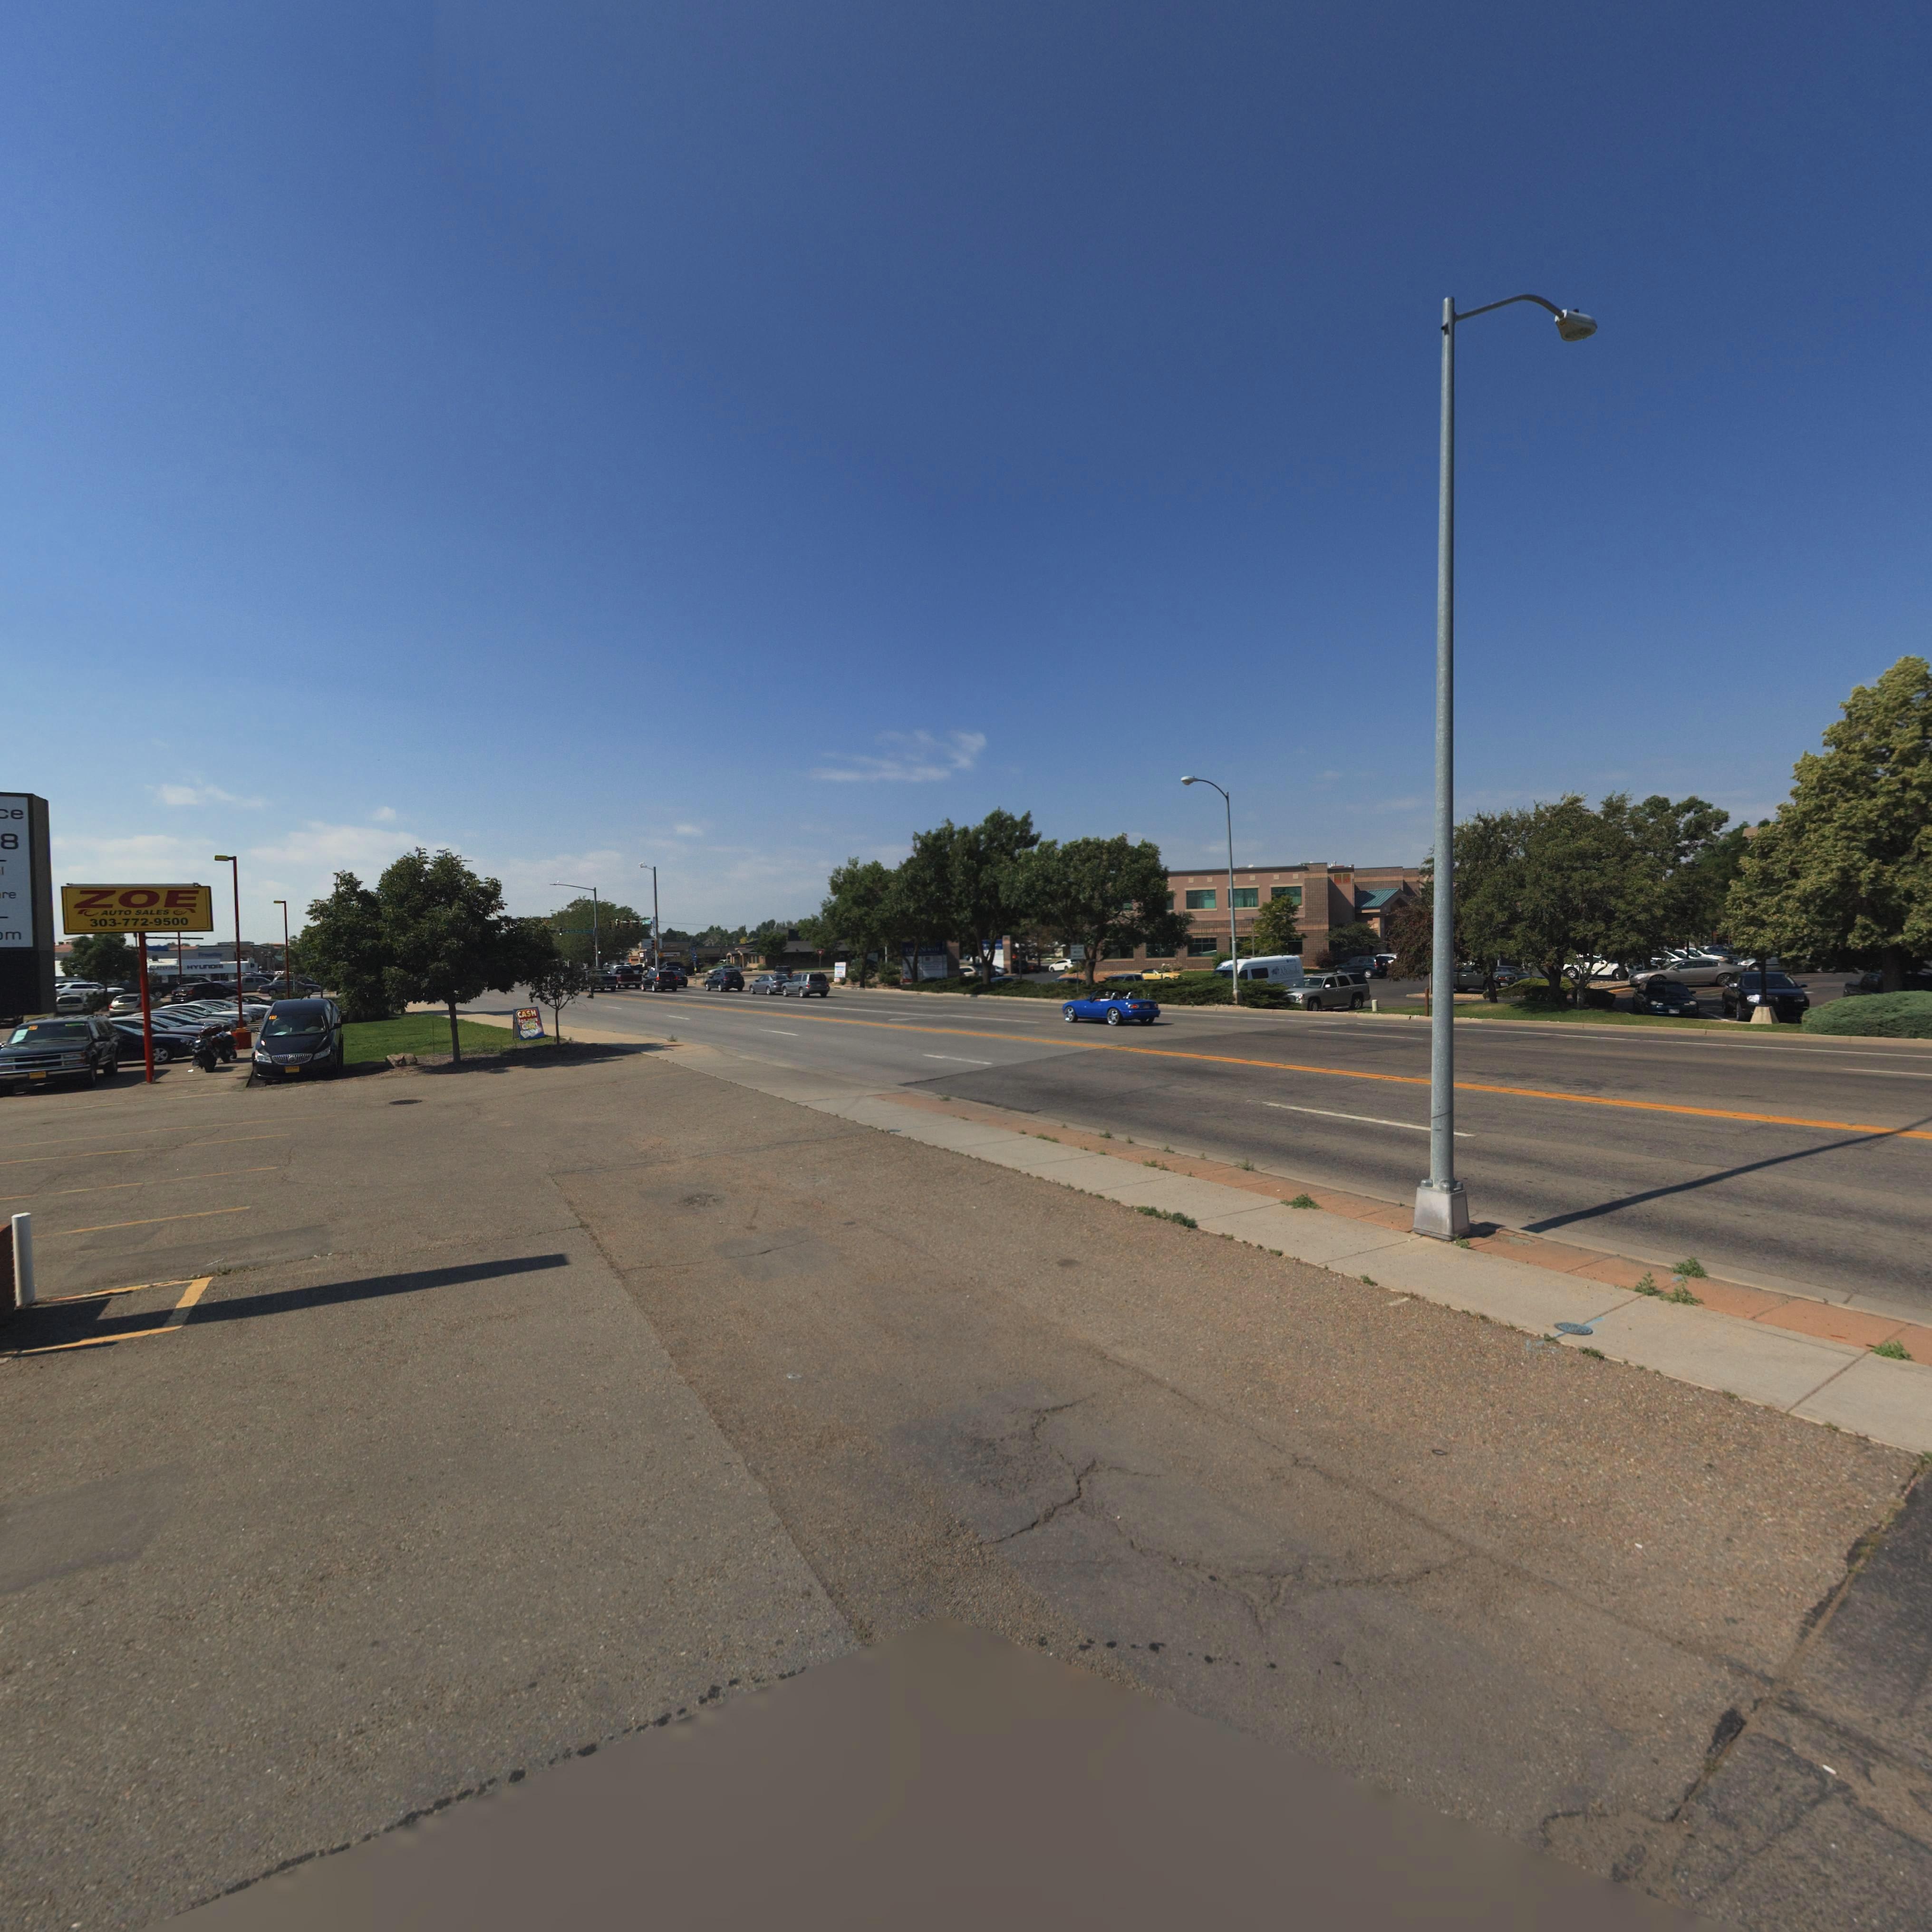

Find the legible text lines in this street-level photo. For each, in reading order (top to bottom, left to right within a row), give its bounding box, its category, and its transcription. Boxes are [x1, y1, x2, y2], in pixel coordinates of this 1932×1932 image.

[72, 889, 201, 908] BusinessName: ZOE
[99, 908, 170, 916] BusinessName: AUTO SALES